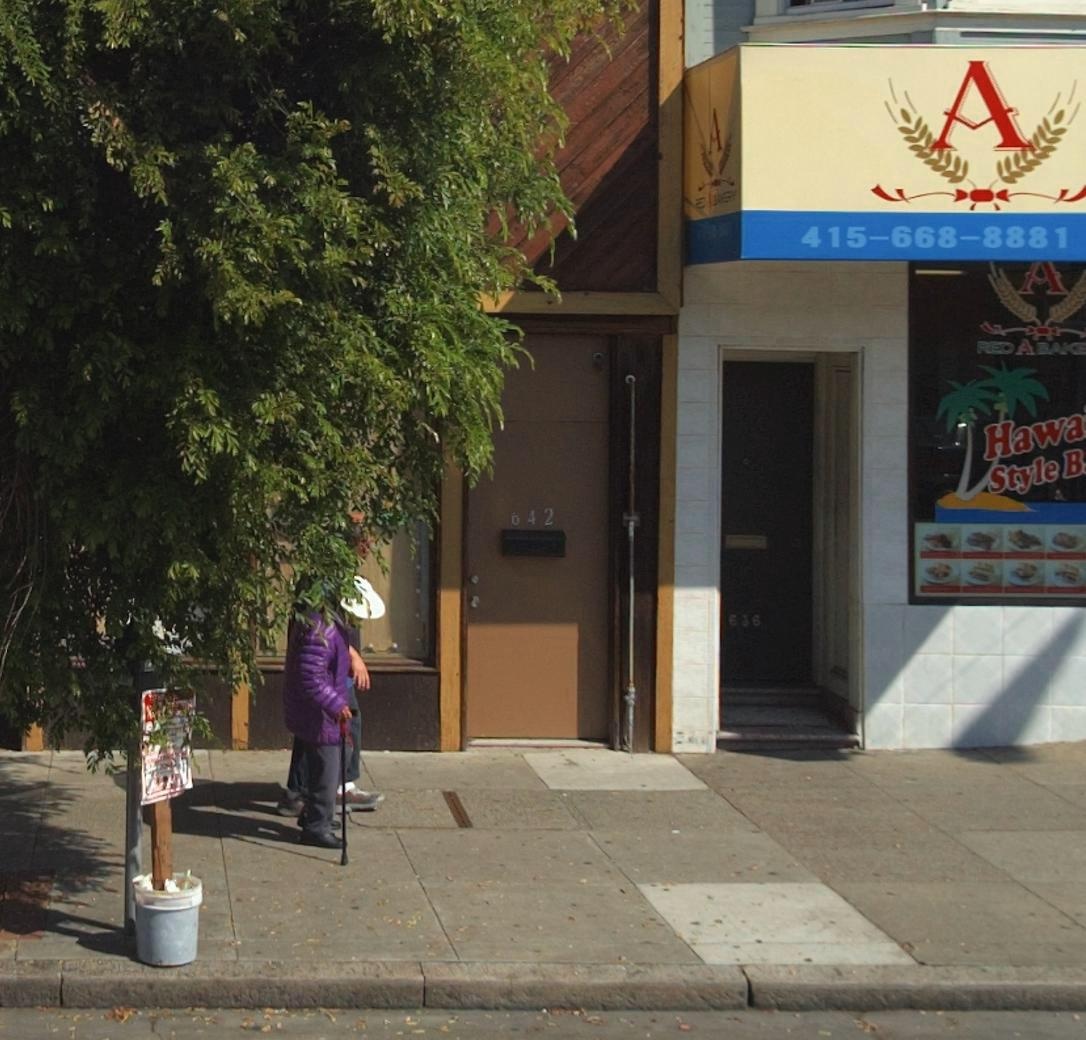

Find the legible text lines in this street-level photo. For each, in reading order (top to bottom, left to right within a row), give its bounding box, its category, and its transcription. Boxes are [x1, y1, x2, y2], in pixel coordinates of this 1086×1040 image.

[929, 58, 1032, 150] None: A
[798, 223, 1066, 249] None: 415-668-8881
[974, 338, 1086, 356] BusinessName: REDABAKE
[980, 406, 1085, 464] None: Hawa
[986, 444, 1085, 498] None: Style B
[508, 505, 557, 528] StreetNumber: 642
[728, 612, 761, 628] StreetNumber: 636